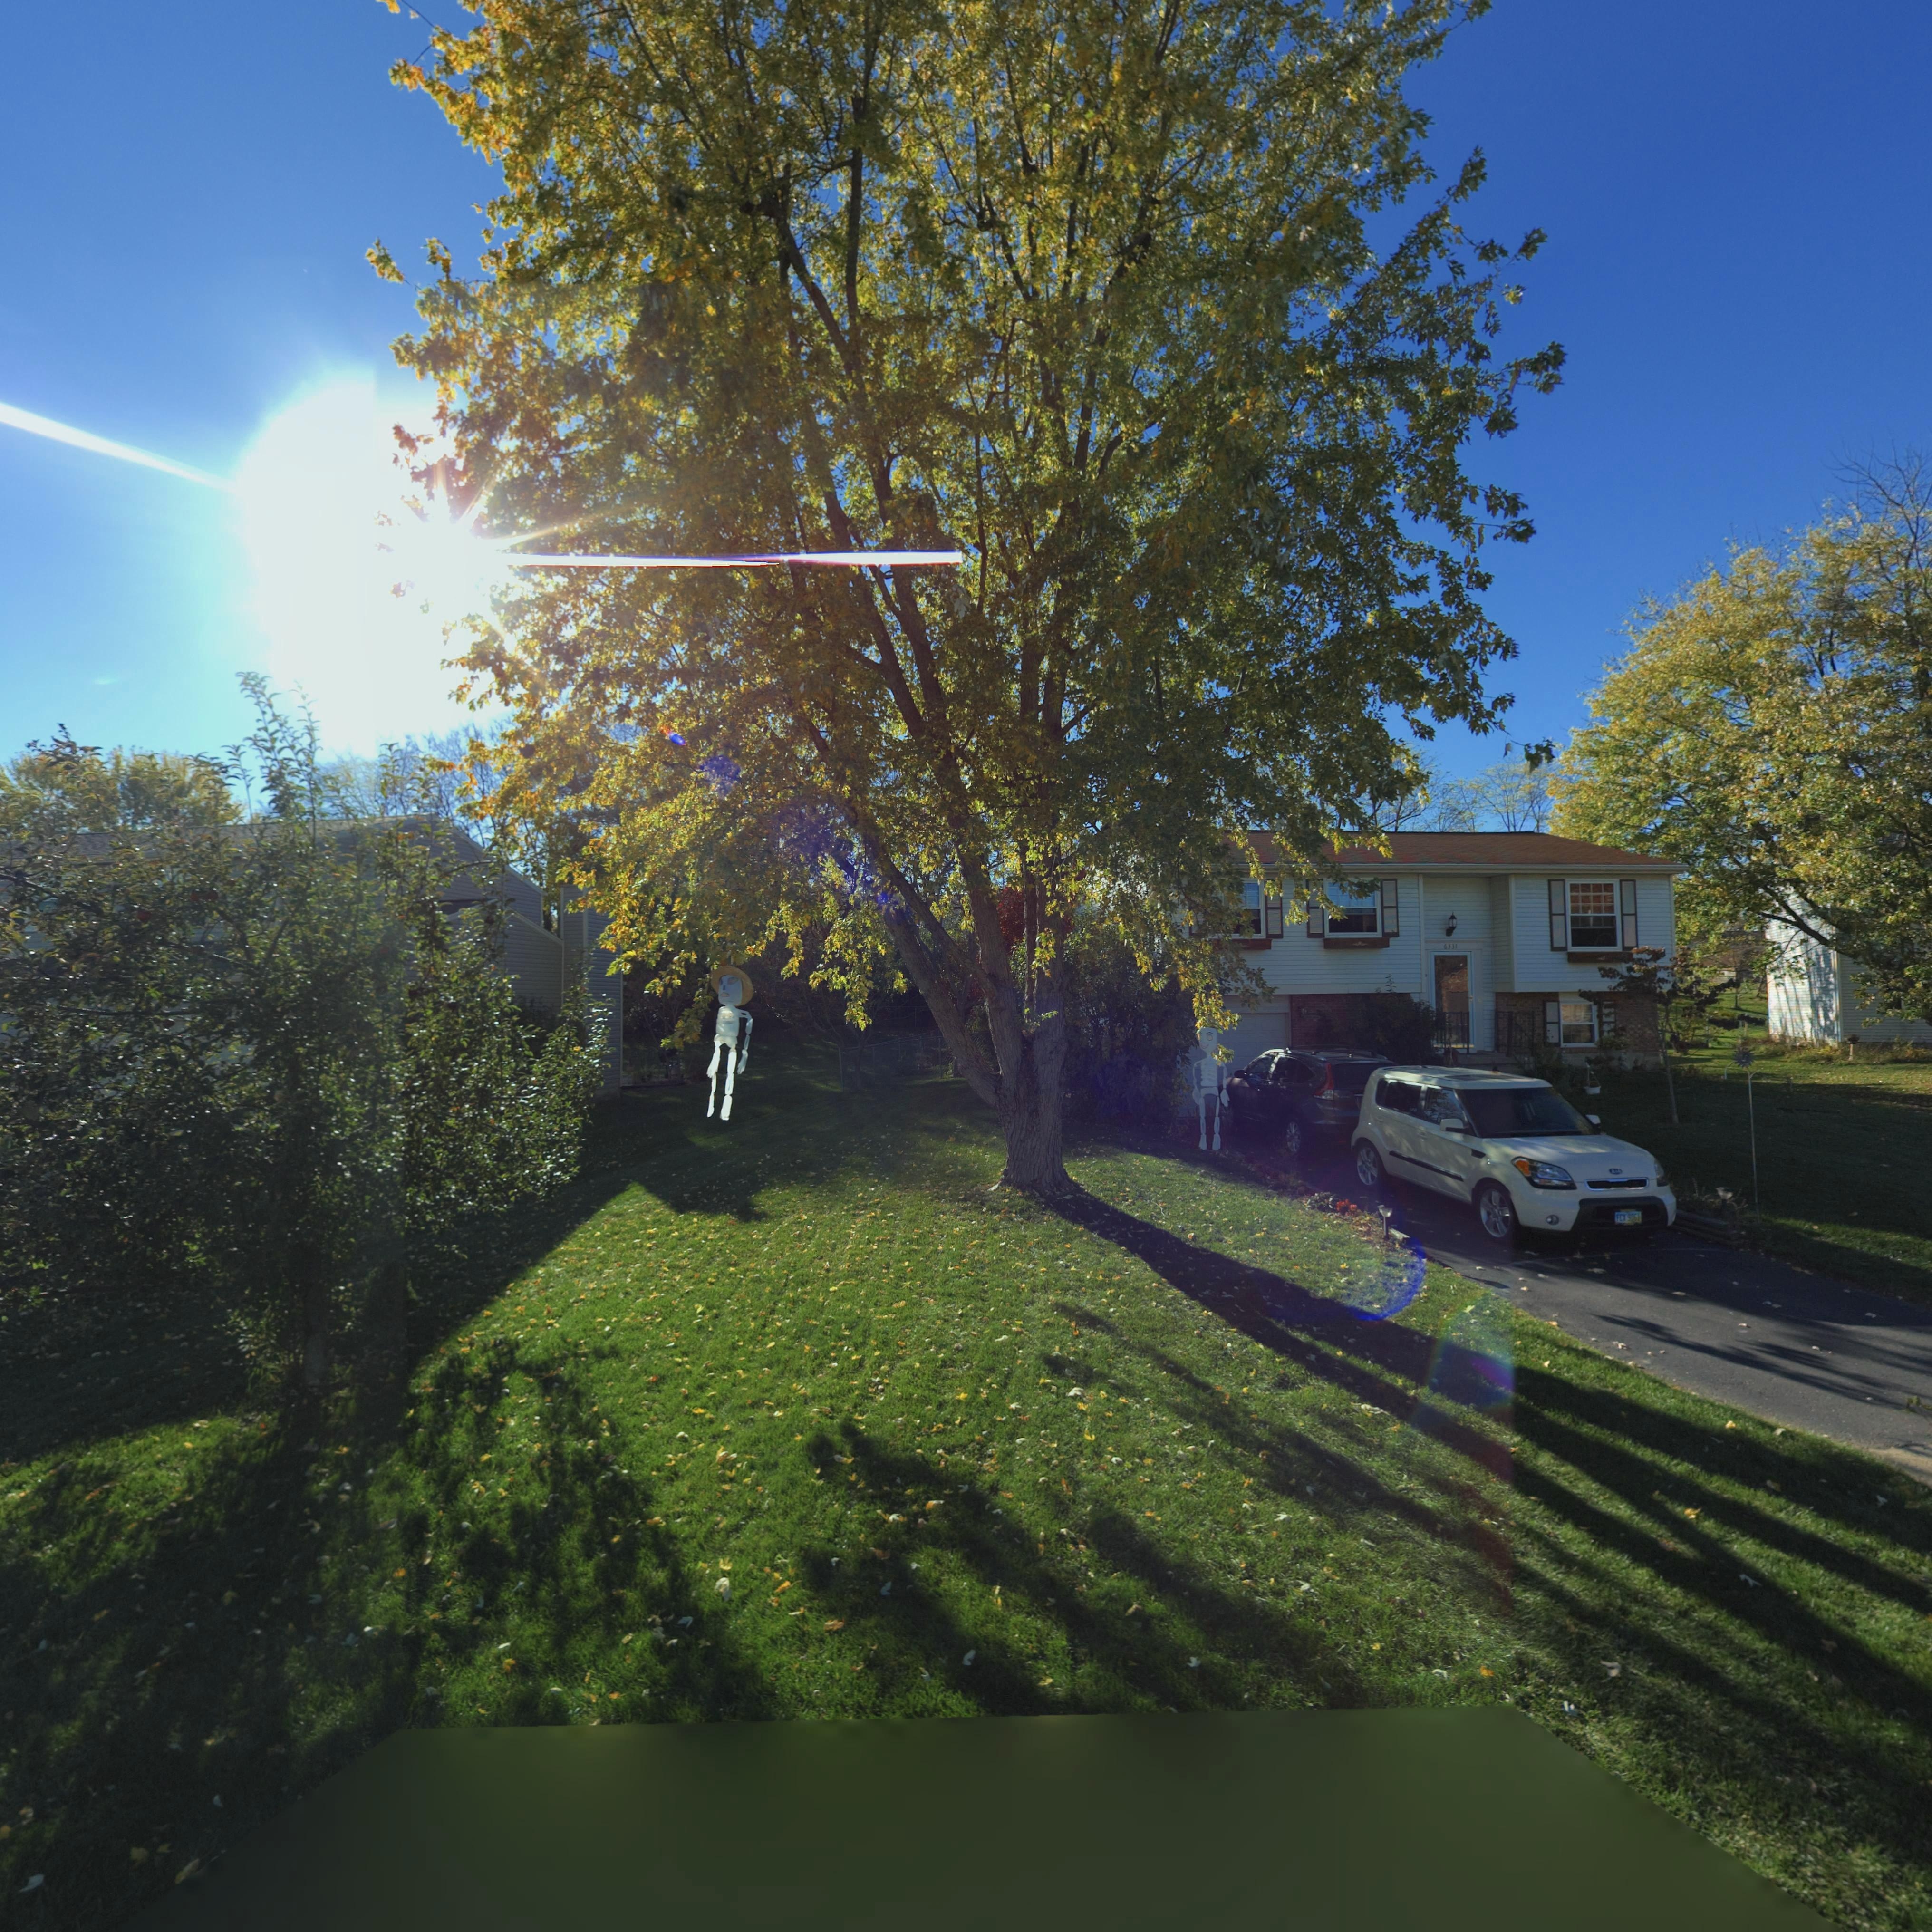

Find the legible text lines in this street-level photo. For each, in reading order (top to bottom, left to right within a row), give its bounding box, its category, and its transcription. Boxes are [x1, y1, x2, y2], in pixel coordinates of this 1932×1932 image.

[1442, 943, 1458, 951] StreetNumber: 6331